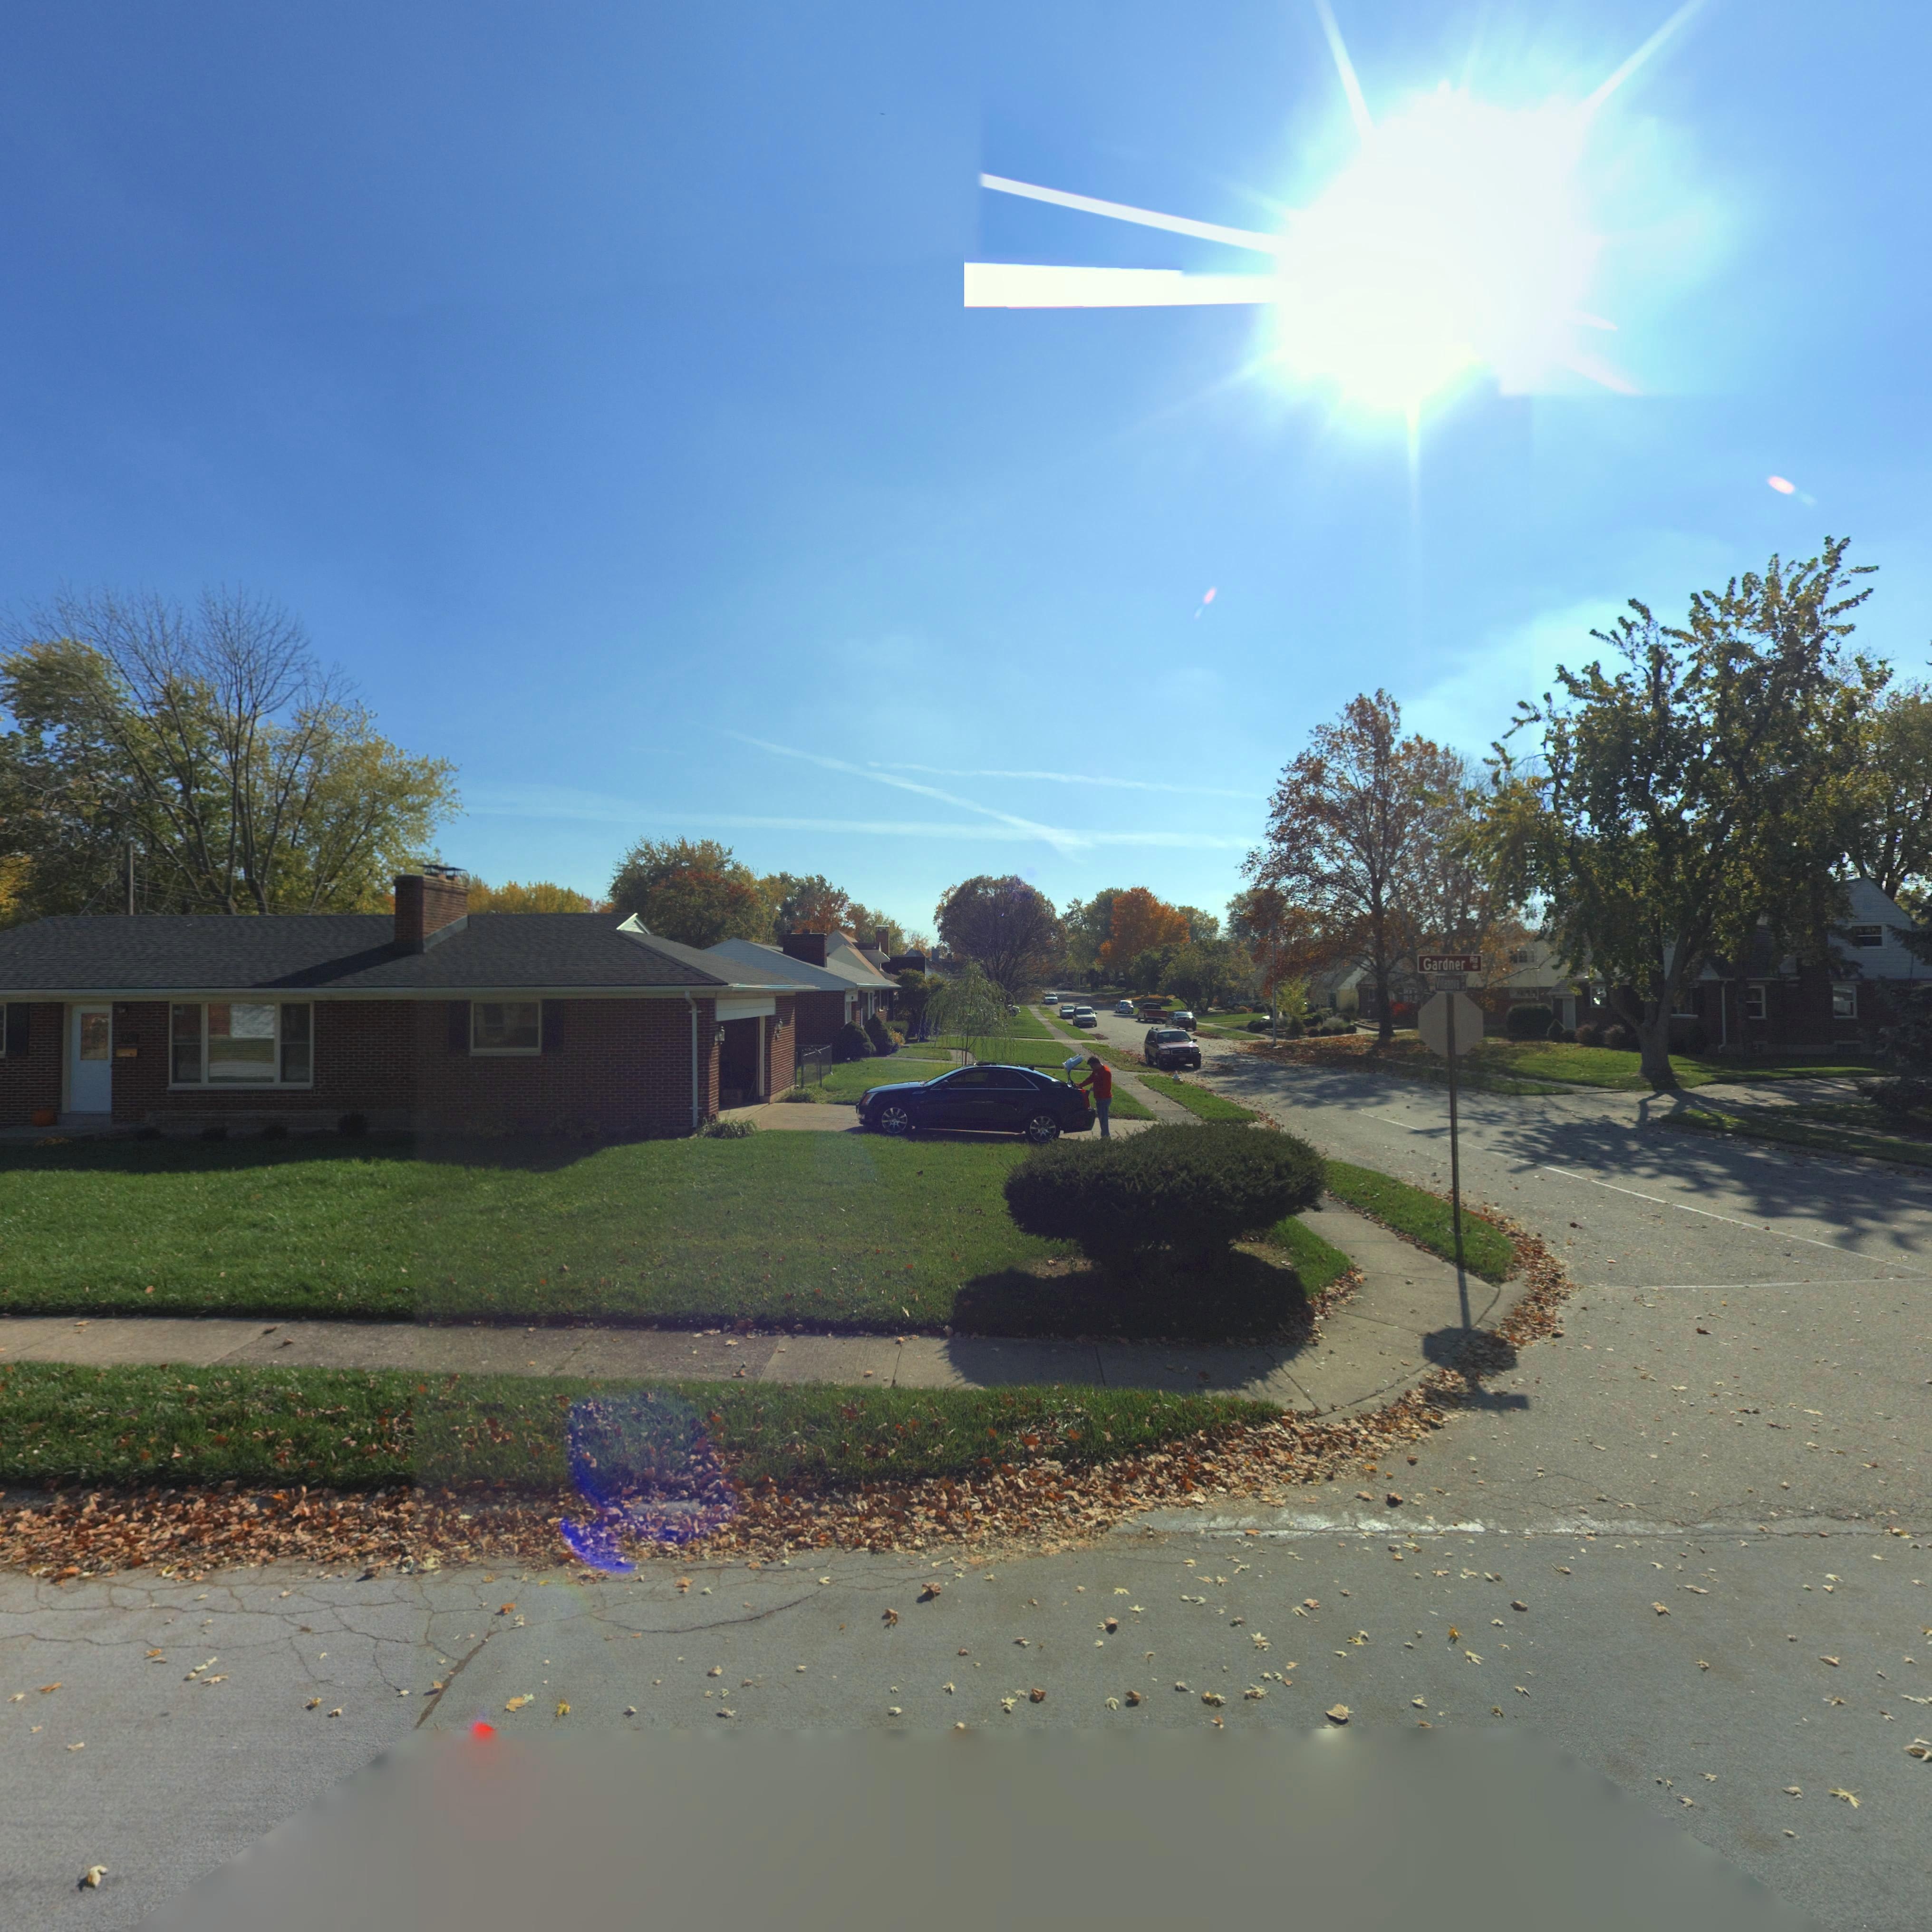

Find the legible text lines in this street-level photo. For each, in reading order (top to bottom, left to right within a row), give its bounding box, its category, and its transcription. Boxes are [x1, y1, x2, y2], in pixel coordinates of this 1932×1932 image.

[1423, 956, 1478, 971] StreetName: Gardner Rd
[1435, 976, 1467, 990] StreetName: Villanova Dr